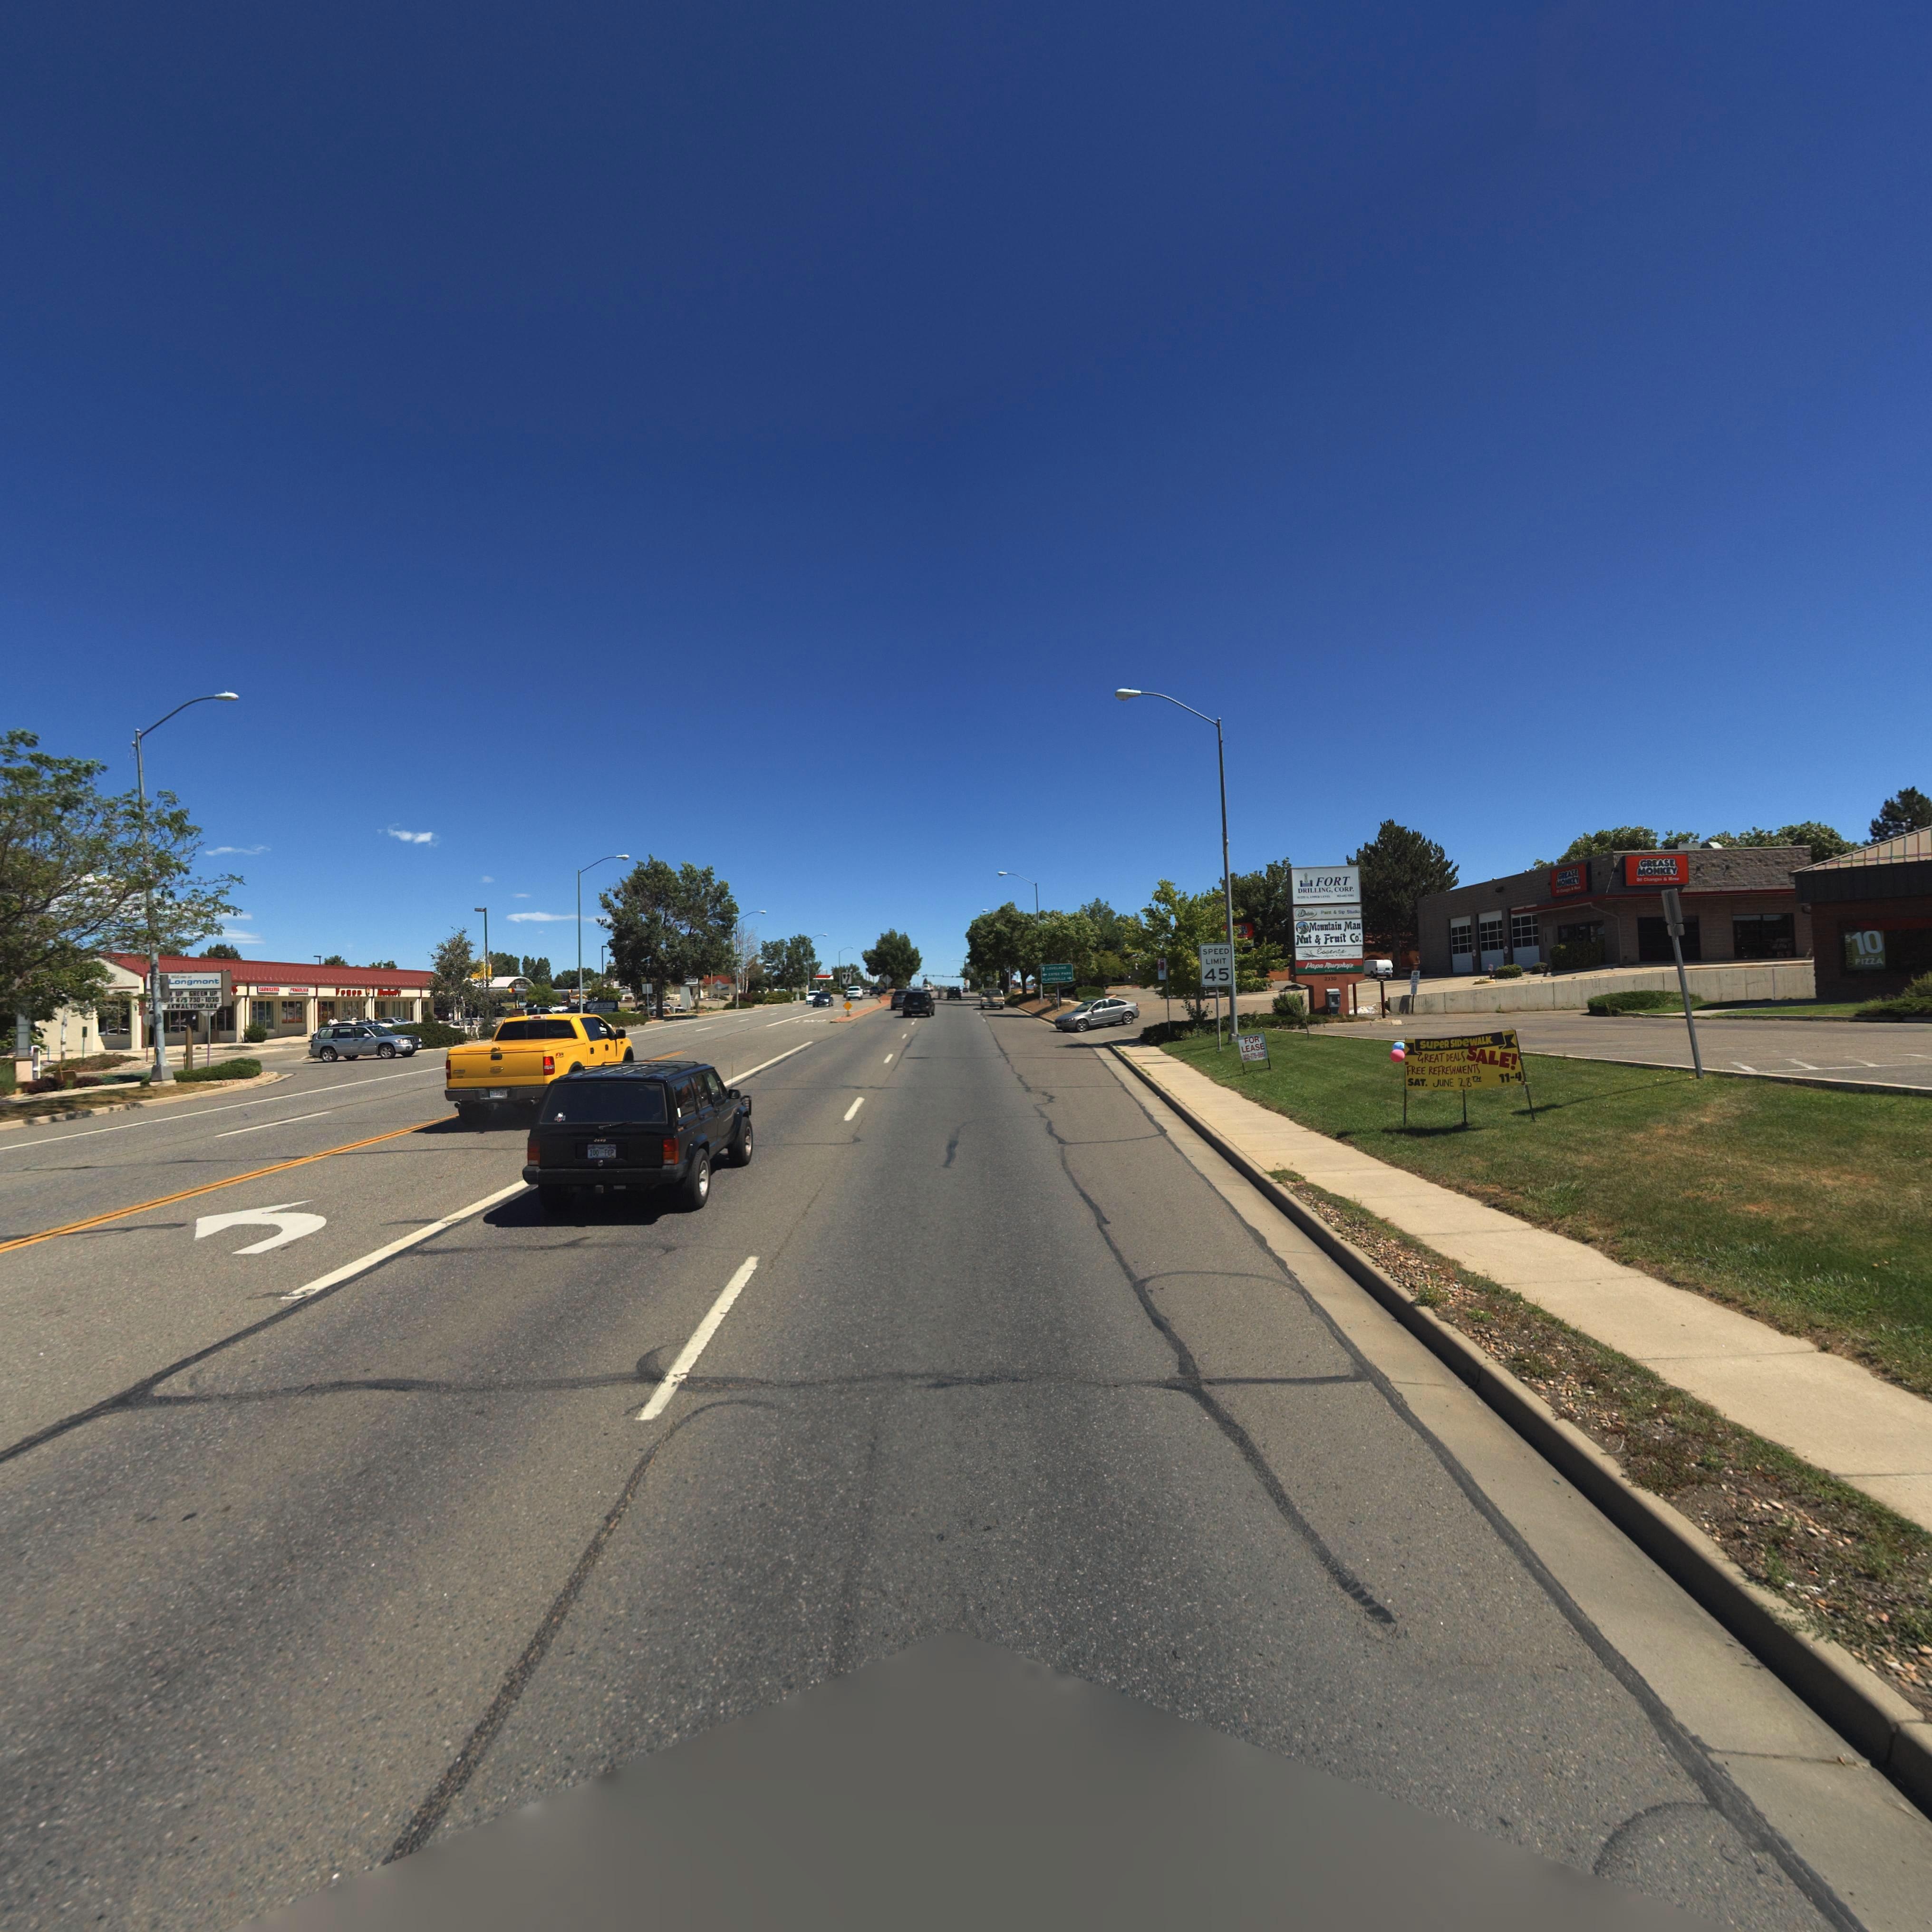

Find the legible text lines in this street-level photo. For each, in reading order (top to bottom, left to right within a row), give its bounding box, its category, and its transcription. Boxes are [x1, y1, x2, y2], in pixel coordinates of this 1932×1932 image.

[1640, 858, 1676, 867] BusinessName: GREASE
[1557, 868, 1578, 879] BusinessName: GREASE
[1637, 866, 1678, 876] BusinessName: MONKEY
[1314, 876, 1351, 886] BusinessName: FORT
[1556, 875, 1579, 888] BusinessName: NOMKEY
[1297, 886, 1354, 894] BusinessName: DRILLING,CORP.
[1297, 908, 1314, 917] BusinessName: D***le
[1321, 909, 1360, 915] BusinessName: P*** & ** St*d*o
[1308, 920, 1361, 932] BusinessName: Mountain Man
[1295, 933, 1362, 946] BusinessName: Nut & Fruit Co.
[1316, 947, 1347, 954] BusinessName: Essence
[1304, 961, 1354, 970] BusinessName: Papa Murphy's
[1324, 976, 1336, 981] StreetNumber: 2*30
[259, 986, 279, 991] BusinessName: CA******A
[290, 987, 309, 992] BusinessName: F*****A
[335, 987, 402, 996] BusinessName: Fogon Ma*ke*